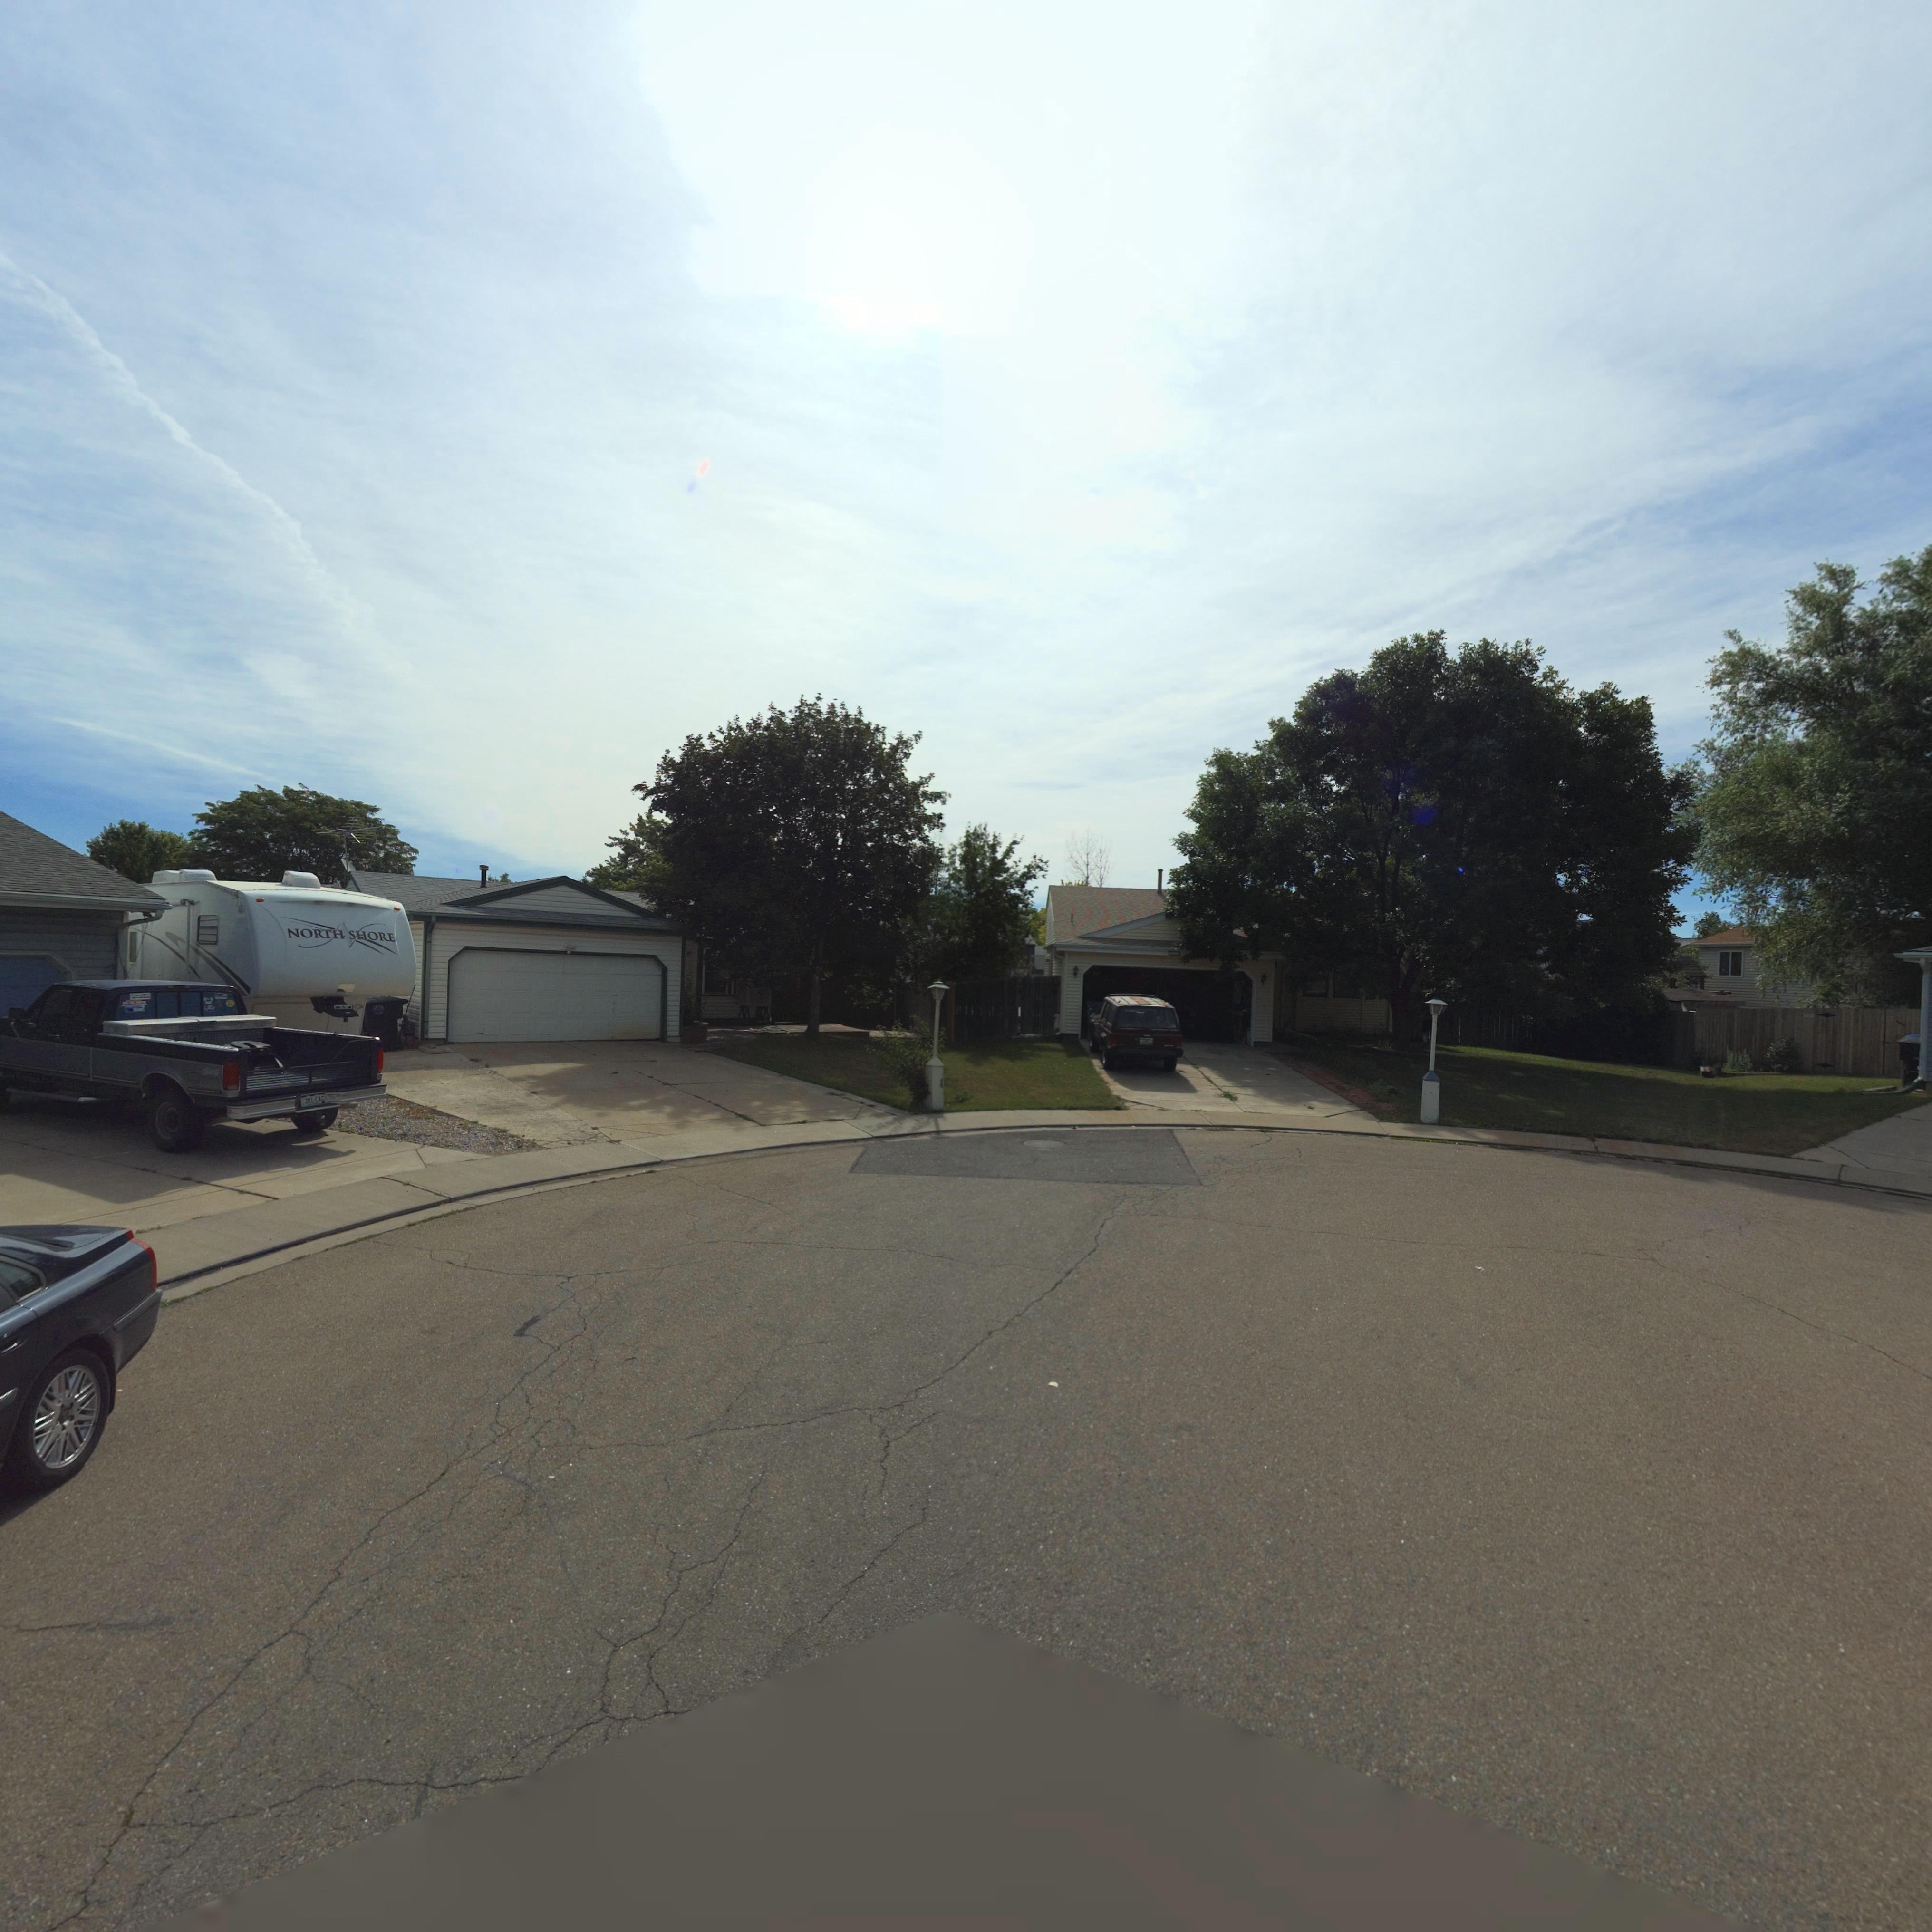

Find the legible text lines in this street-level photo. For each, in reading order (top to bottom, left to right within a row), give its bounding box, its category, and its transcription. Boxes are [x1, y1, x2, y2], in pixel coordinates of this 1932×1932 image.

[287, 928, 396, 942] BusinessName: NORTH SHORE